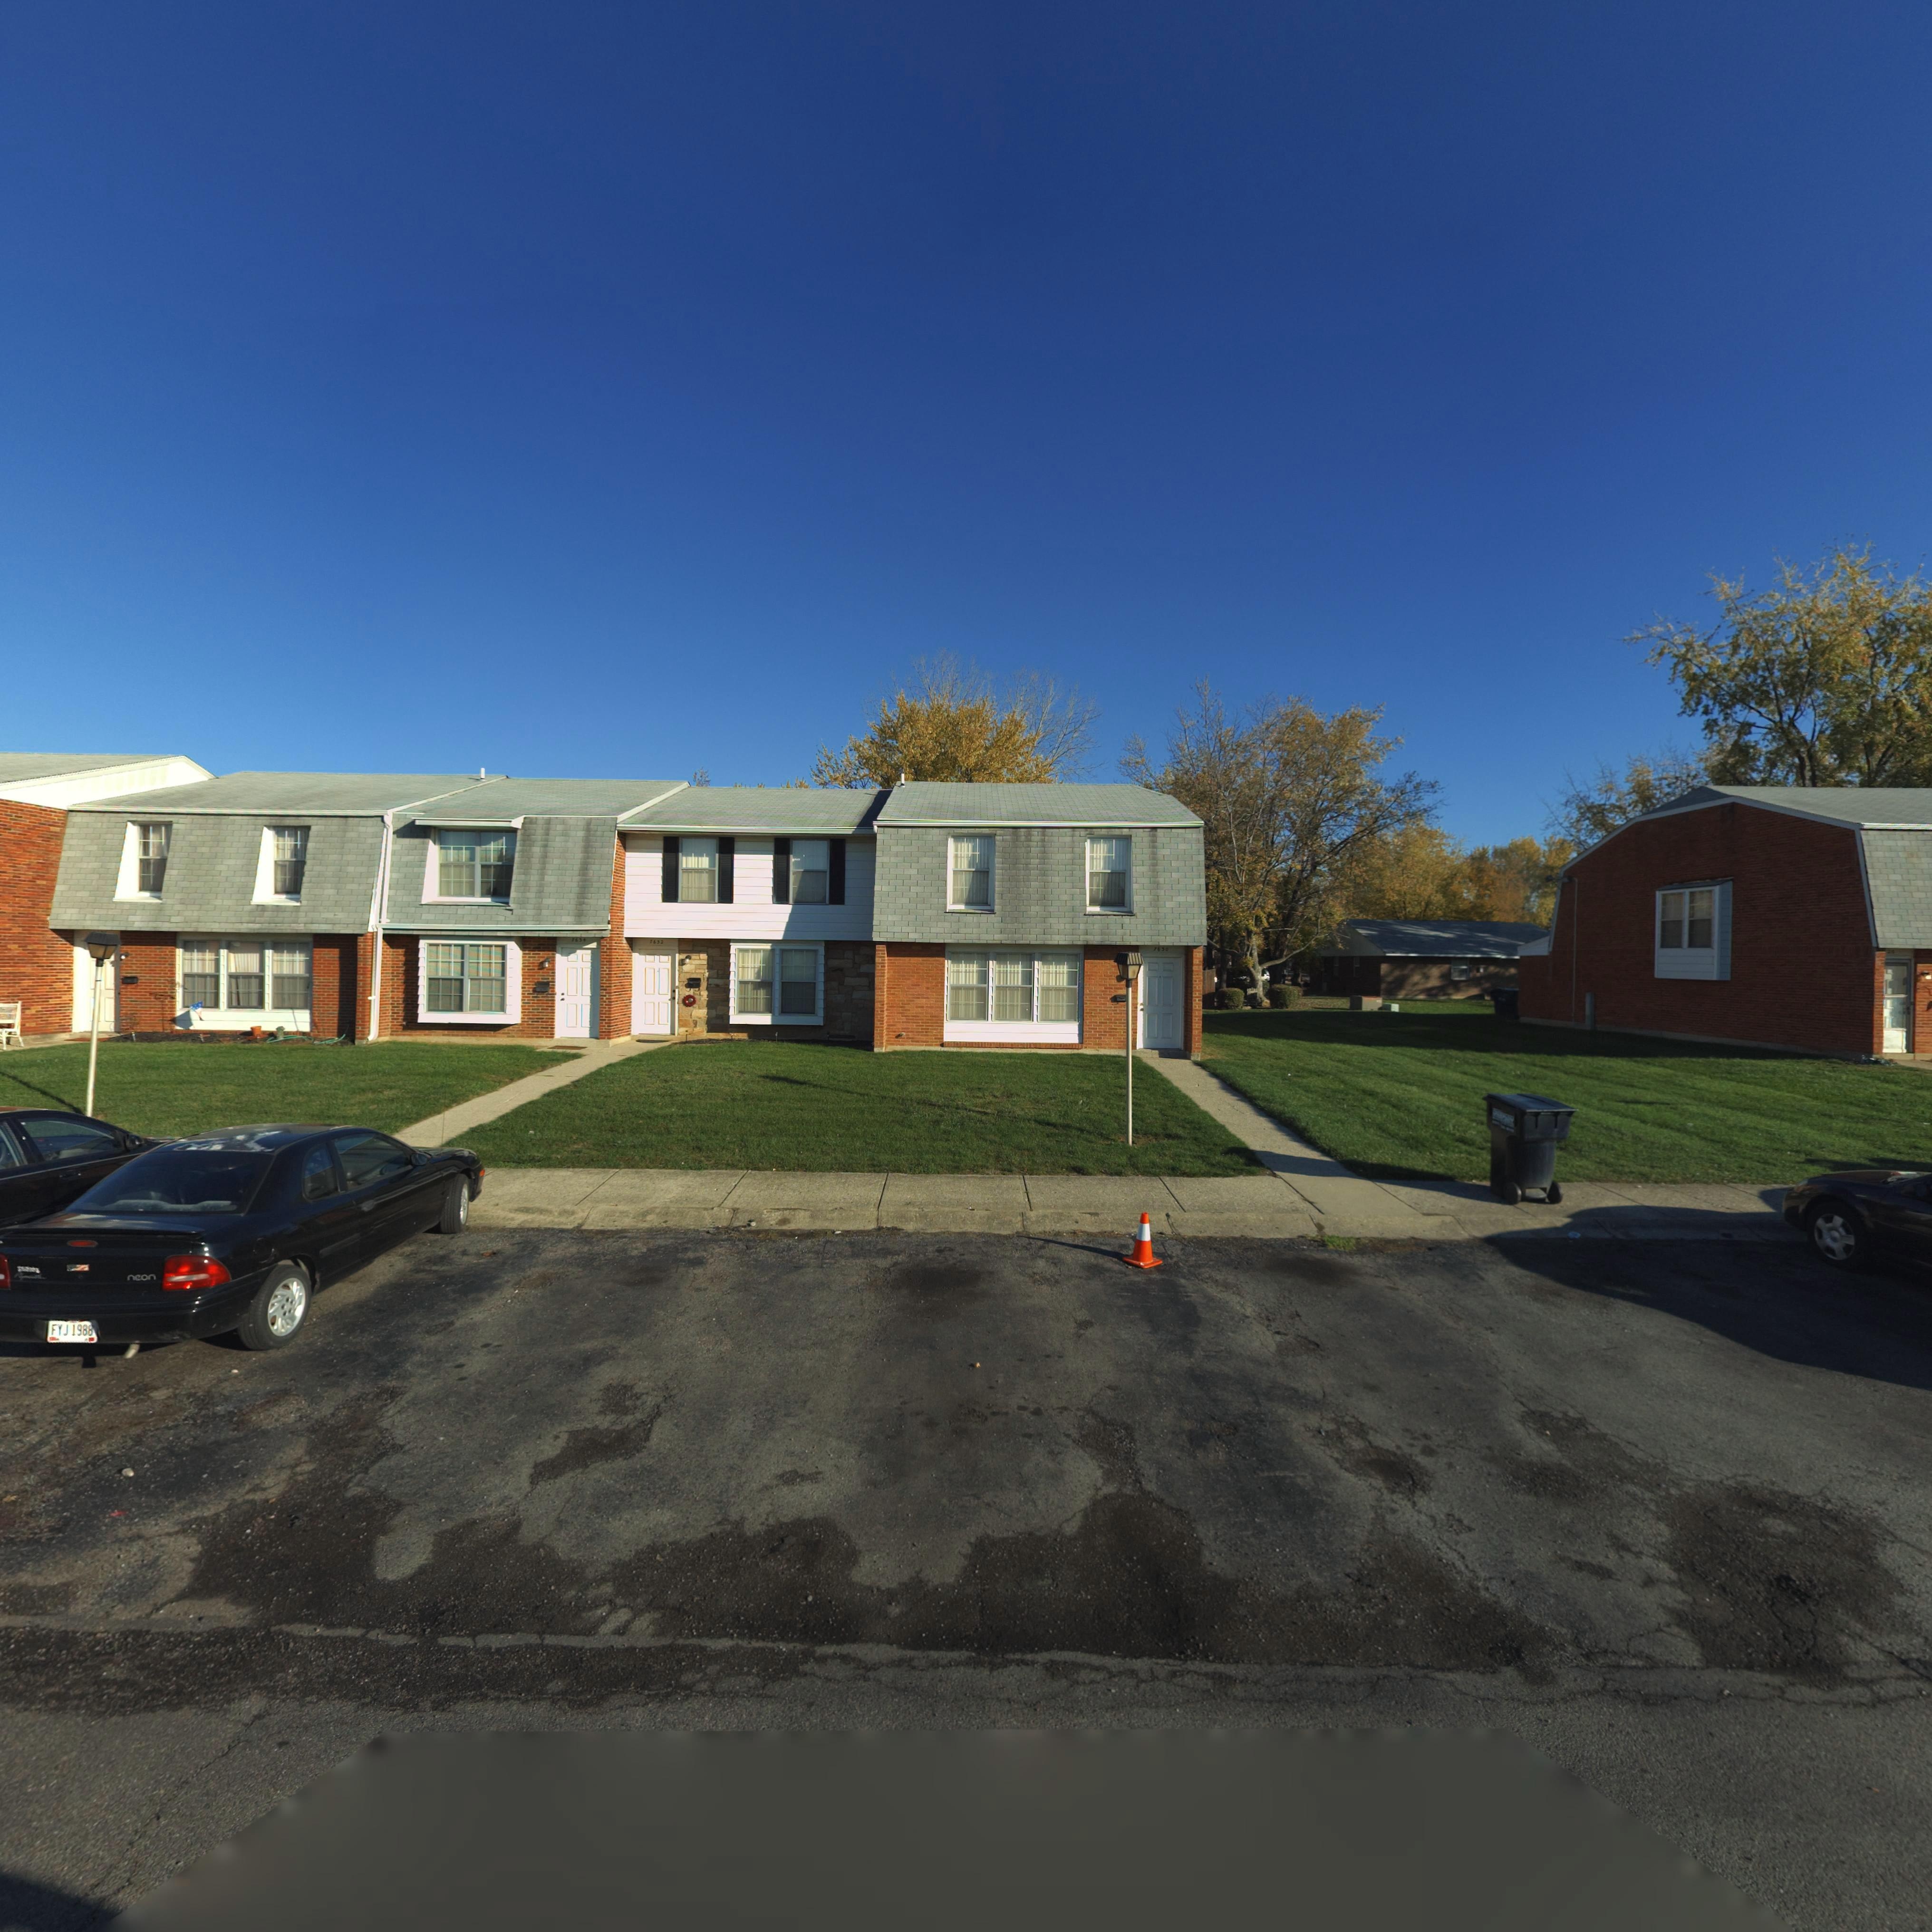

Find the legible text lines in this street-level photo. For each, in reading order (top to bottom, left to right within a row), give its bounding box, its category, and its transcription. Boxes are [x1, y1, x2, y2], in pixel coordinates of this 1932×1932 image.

[570, 937, 587, 943] StreetNumber: 7634
[649, 939, 664, 945] StreetNumber: 7632
[1153, 947, 1169, 952] StreetNumber: 7630
[1886, 948, 1892, 955] StreetNumber: 2